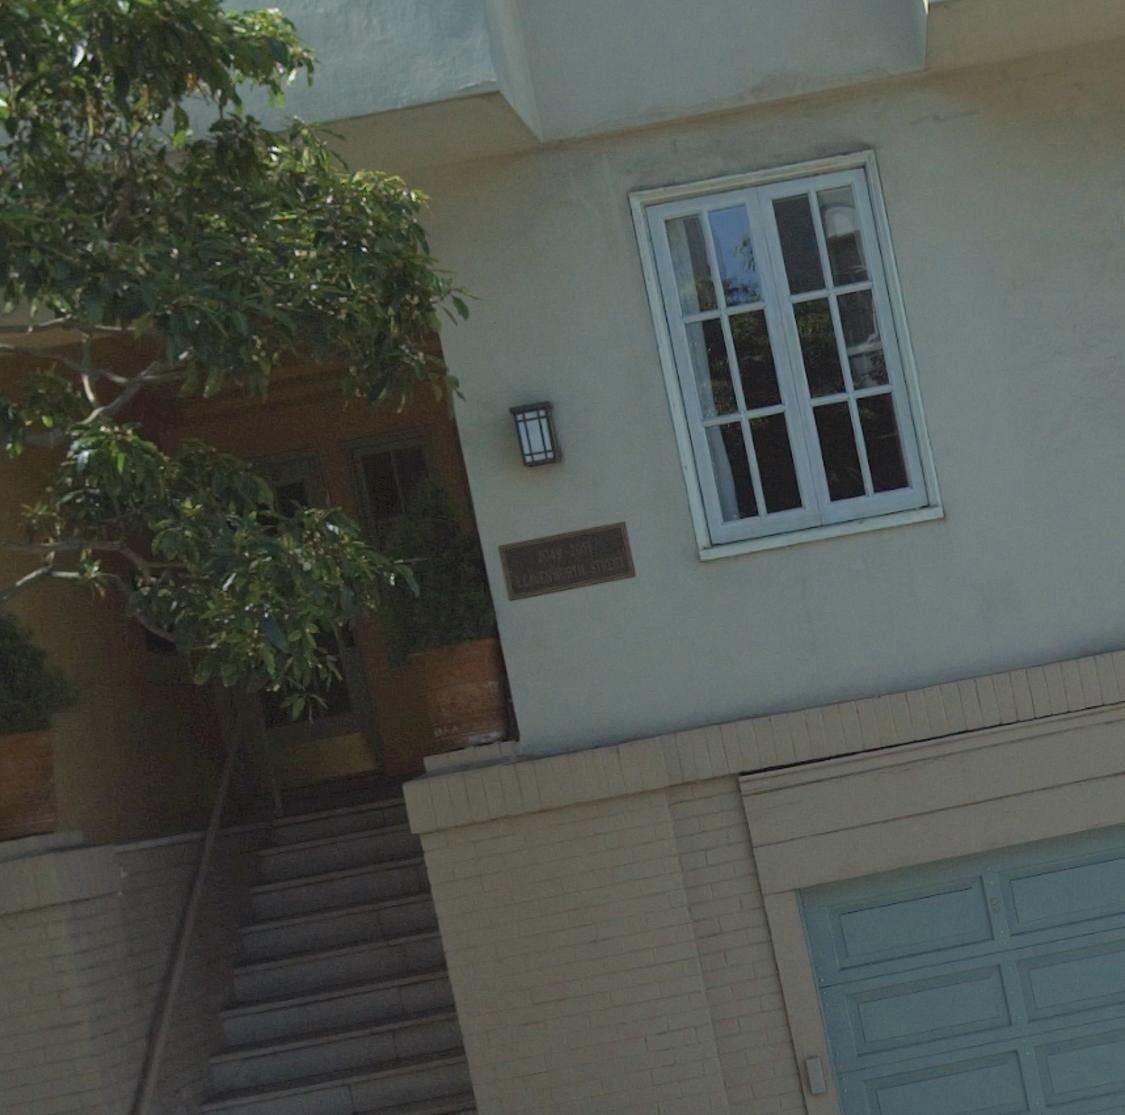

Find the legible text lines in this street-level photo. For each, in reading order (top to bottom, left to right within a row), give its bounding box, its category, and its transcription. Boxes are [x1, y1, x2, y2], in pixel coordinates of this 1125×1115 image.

[534, 545, 563, 566] StreetNumber: 2049
[567, 539, 595, 559] StreetNumber: 2051
[587, 553, 628, 575] StreetName: ST*E**
[513, 575, 526, 592] StreetName: L